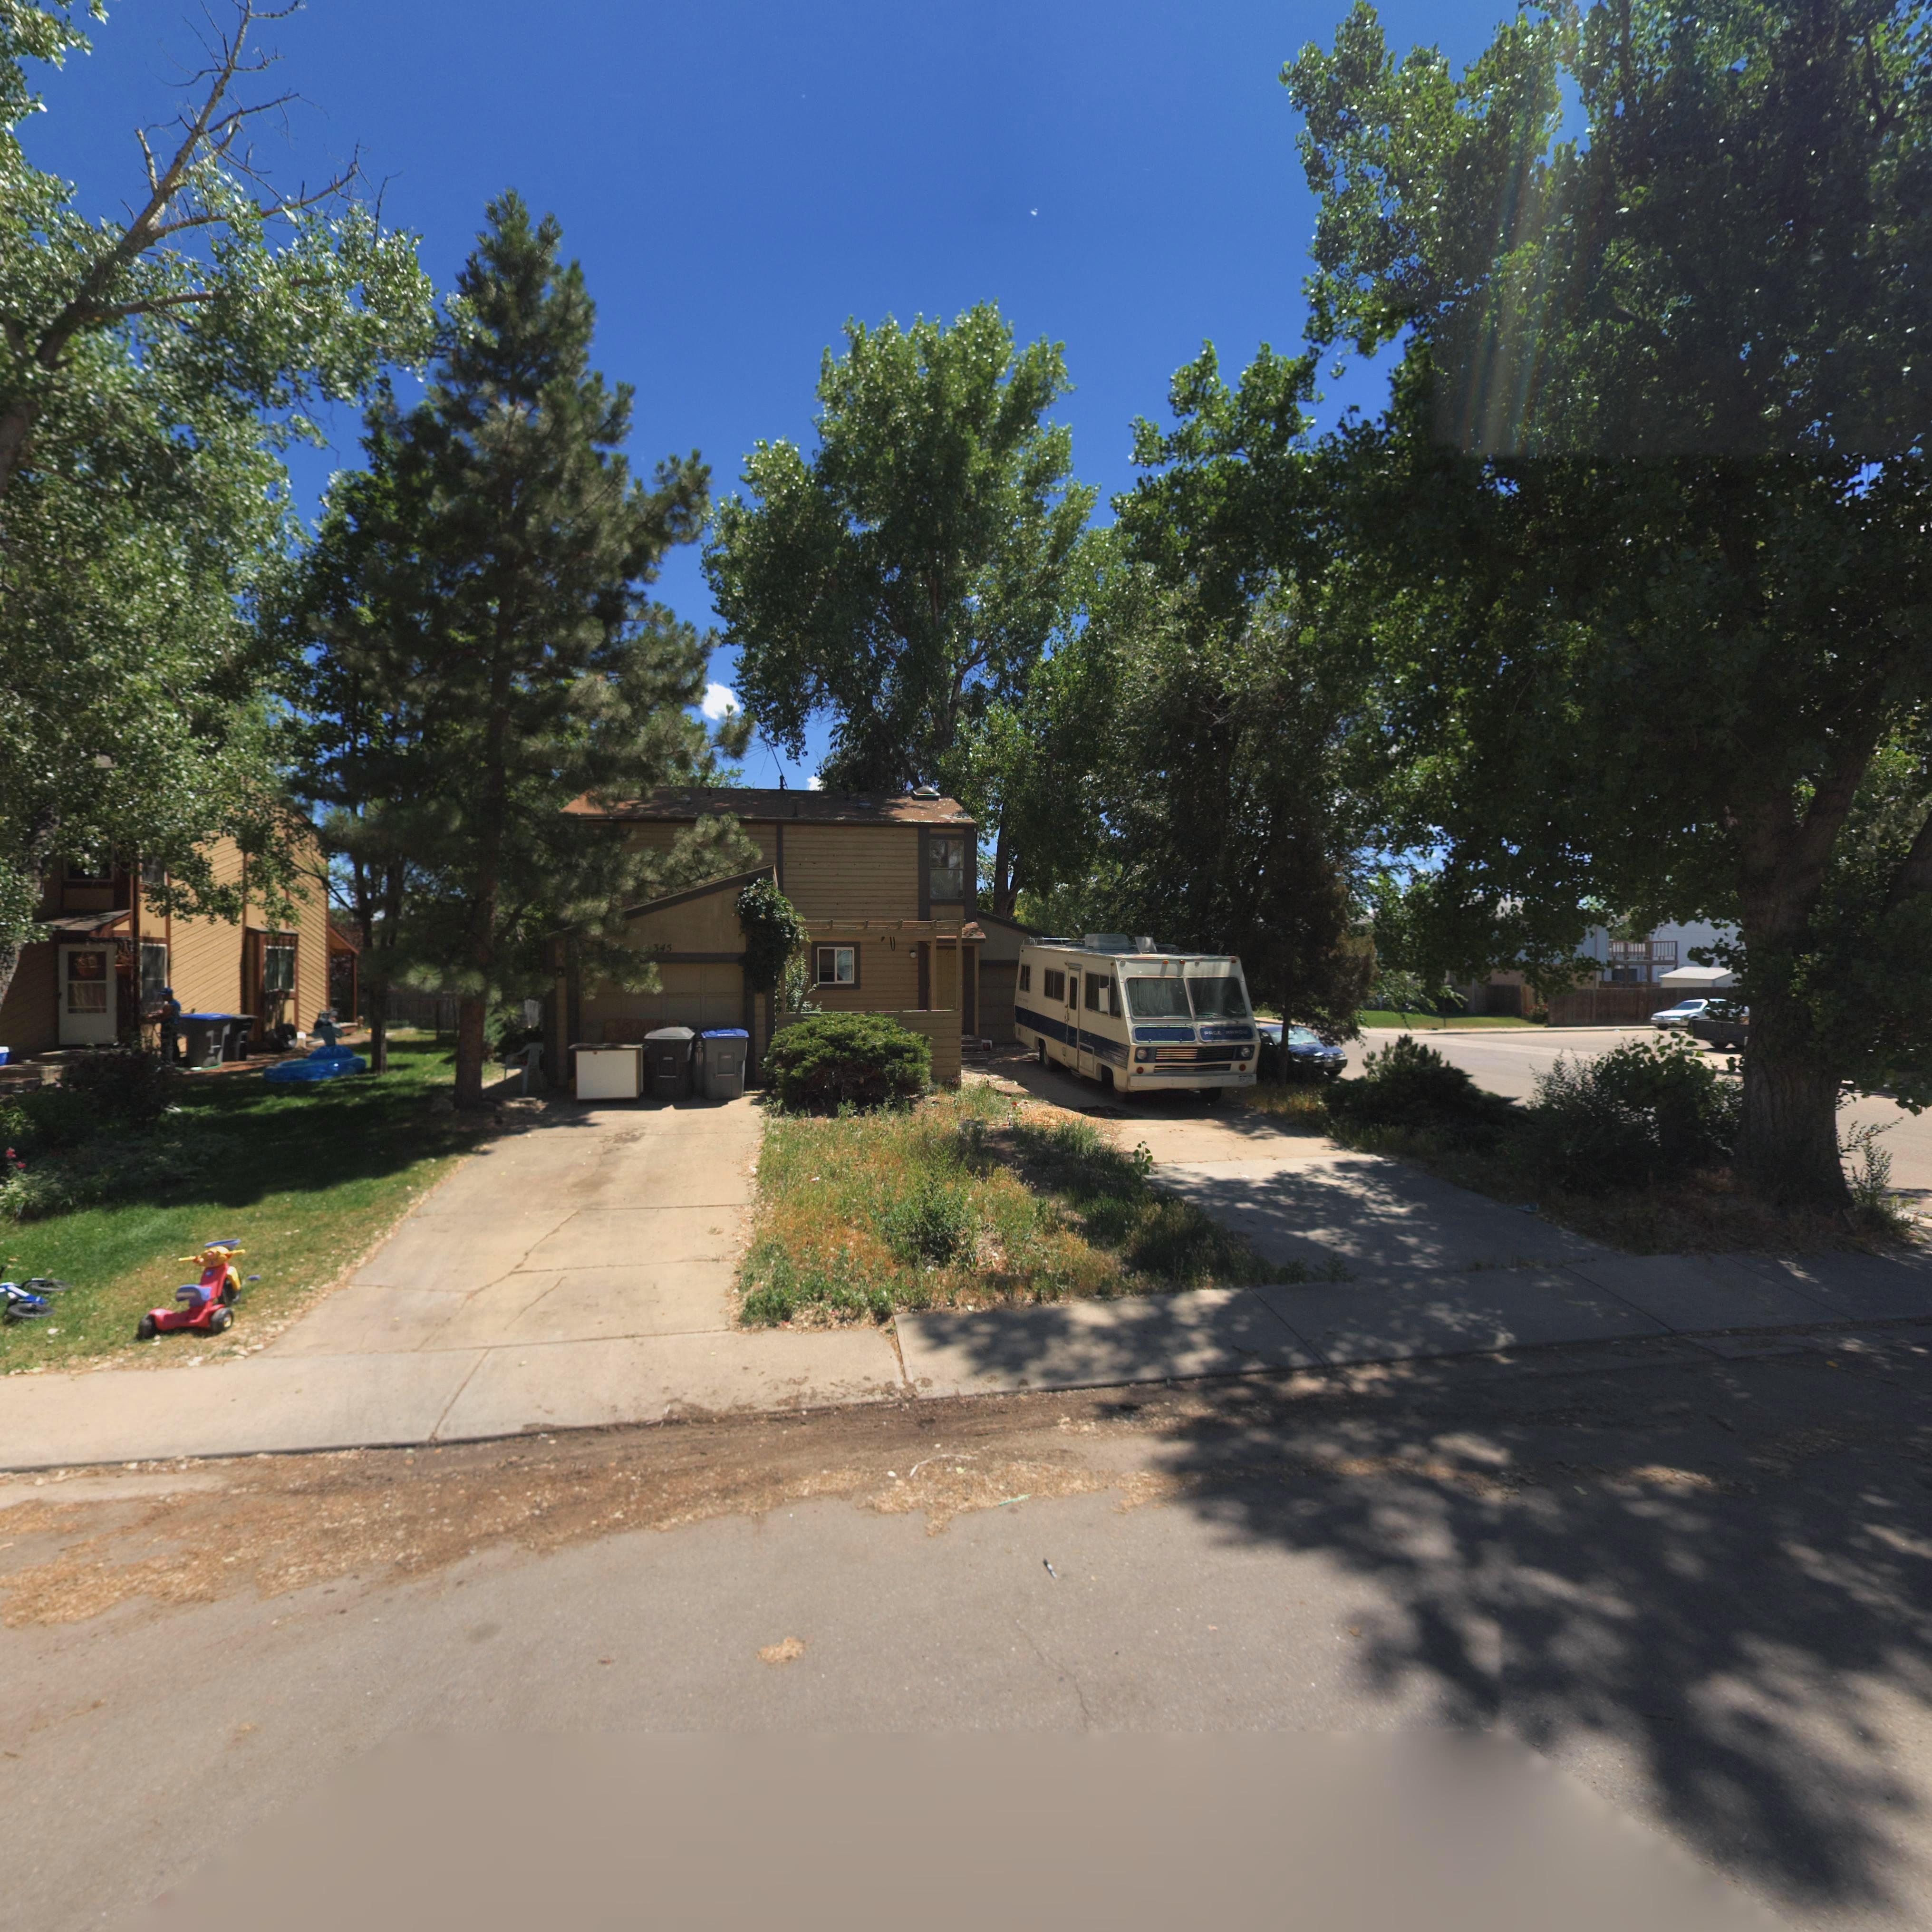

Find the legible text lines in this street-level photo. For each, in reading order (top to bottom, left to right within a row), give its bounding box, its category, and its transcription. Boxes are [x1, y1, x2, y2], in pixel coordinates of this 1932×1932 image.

[653, 943, 672, 952] StreetNumber: 345